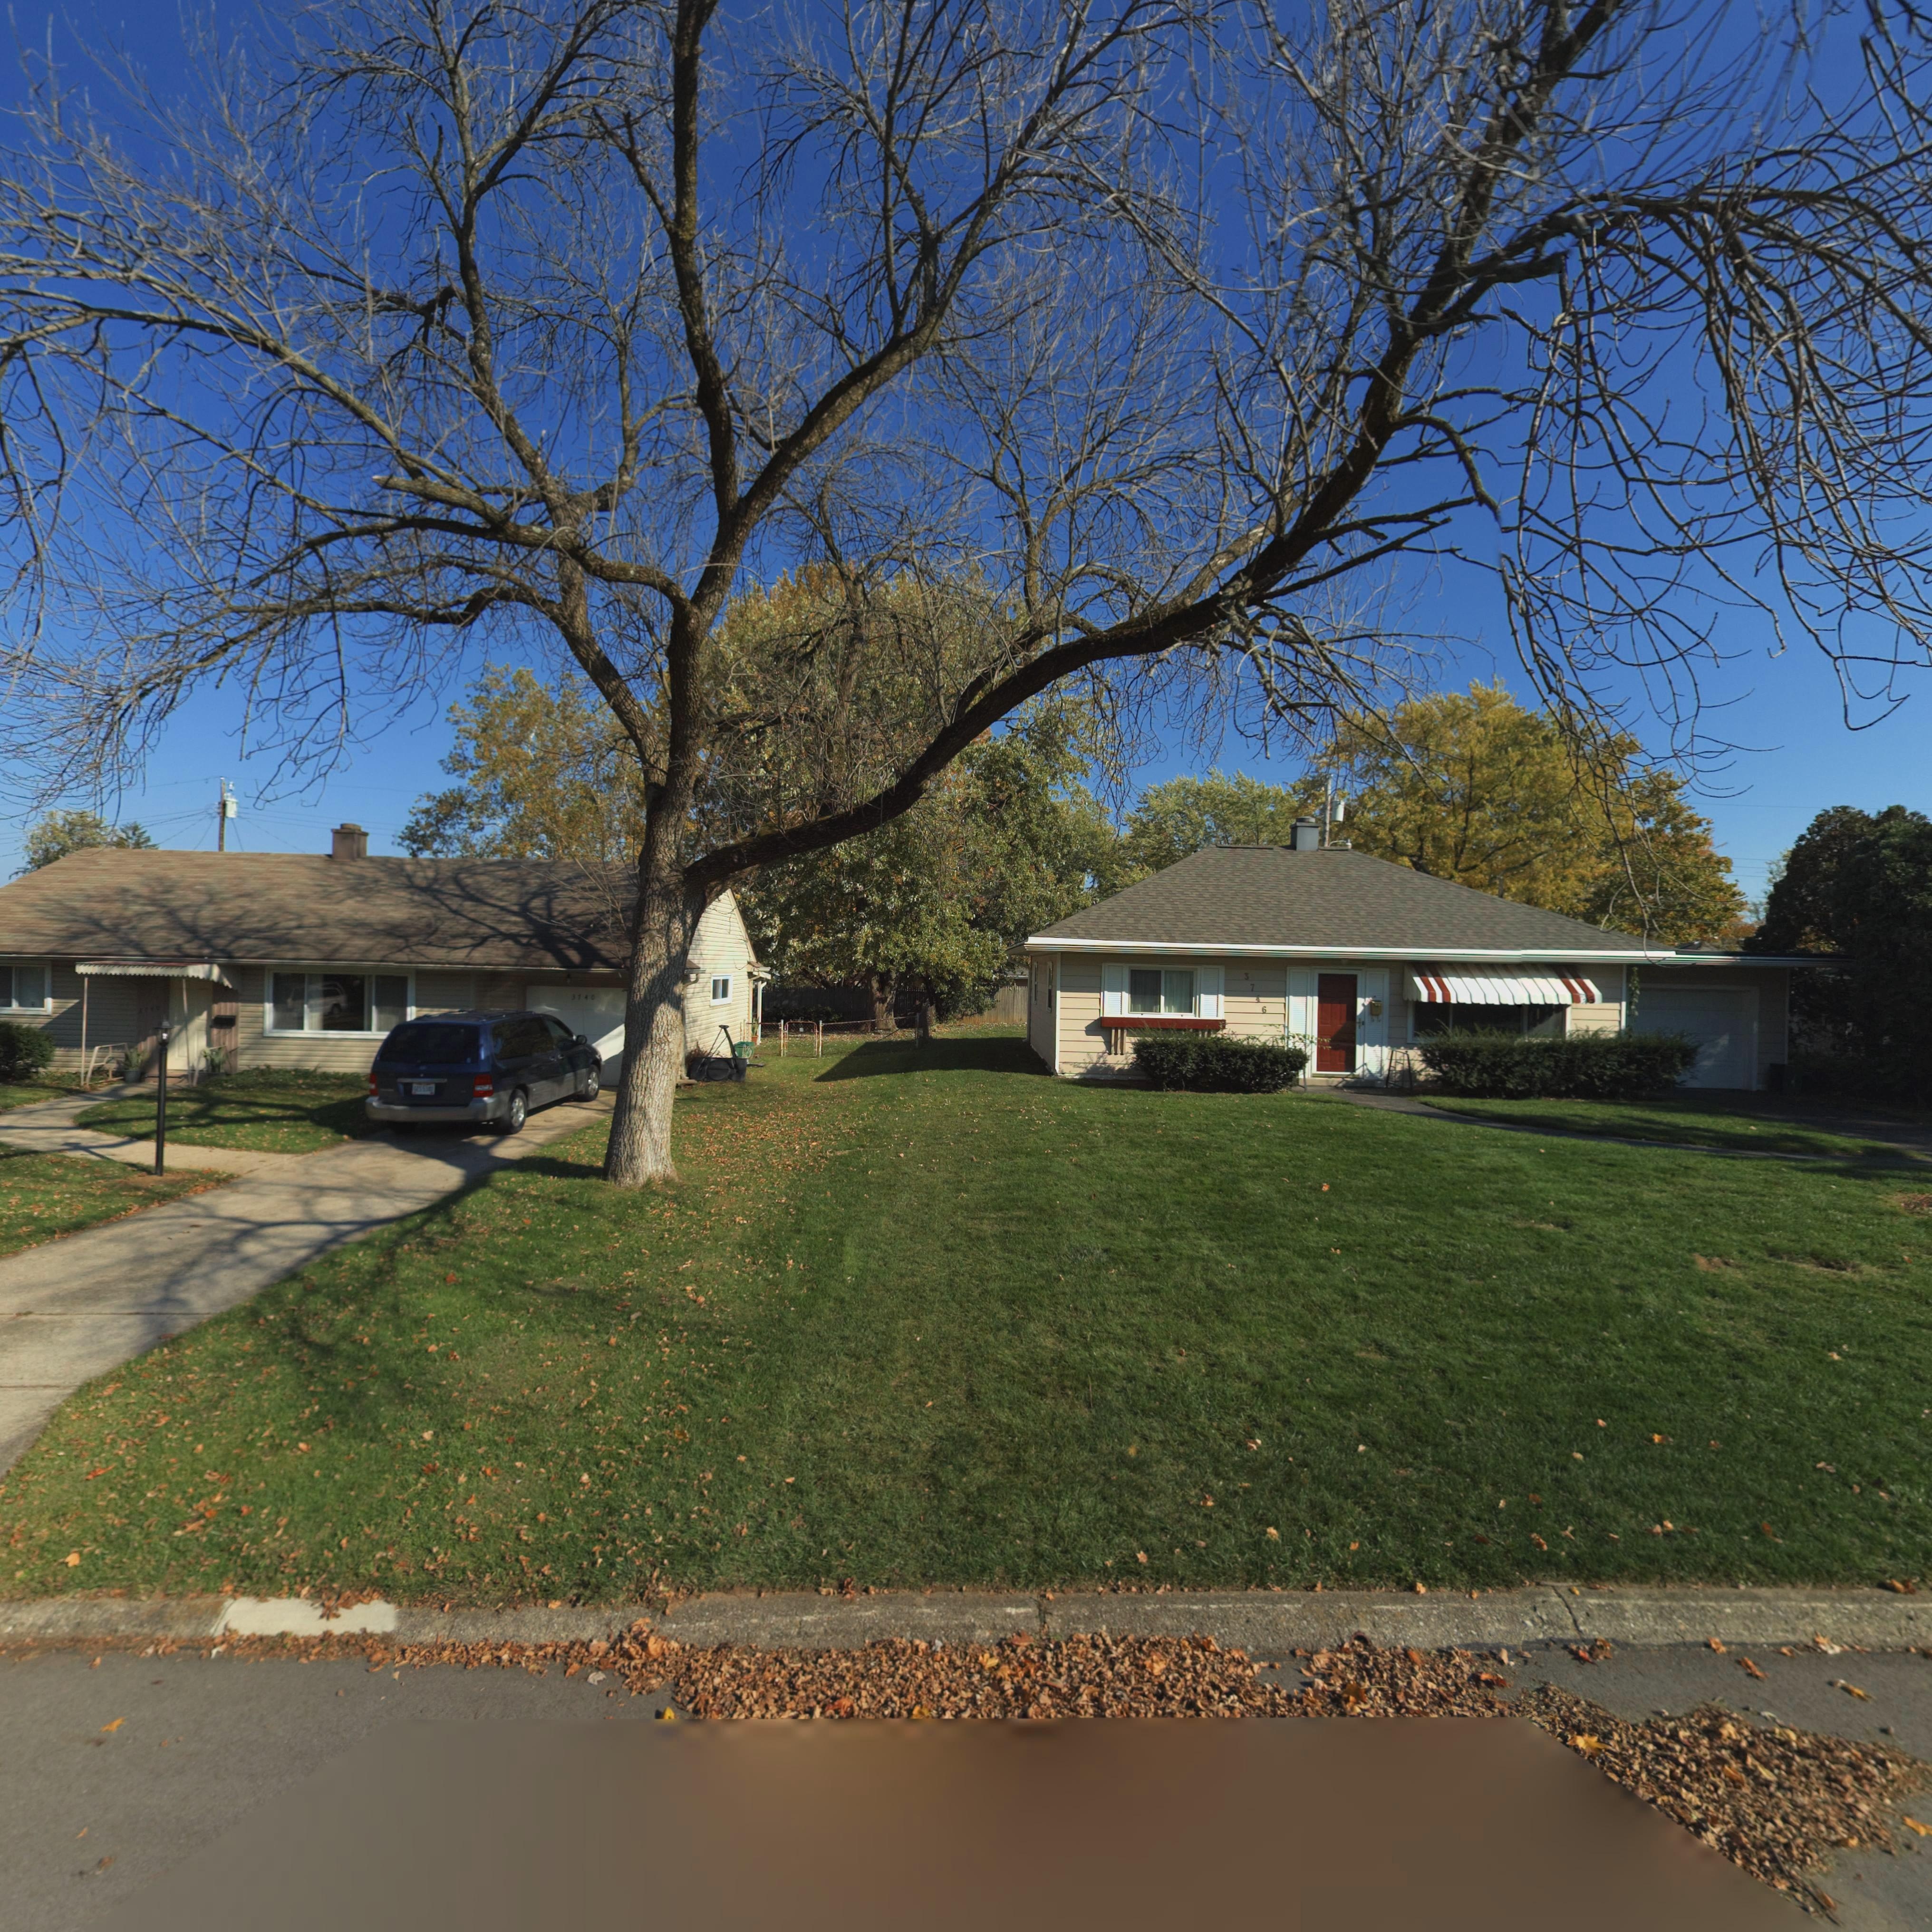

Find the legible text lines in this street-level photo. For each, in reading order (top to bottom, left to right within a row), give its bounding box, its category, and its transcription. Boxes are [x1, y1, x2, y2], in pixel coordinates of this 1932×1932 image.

[569, 993, 597, 1002] StreetNumber: 3740
[1243, 972, 1268, 1015] StreetNumber: 3746